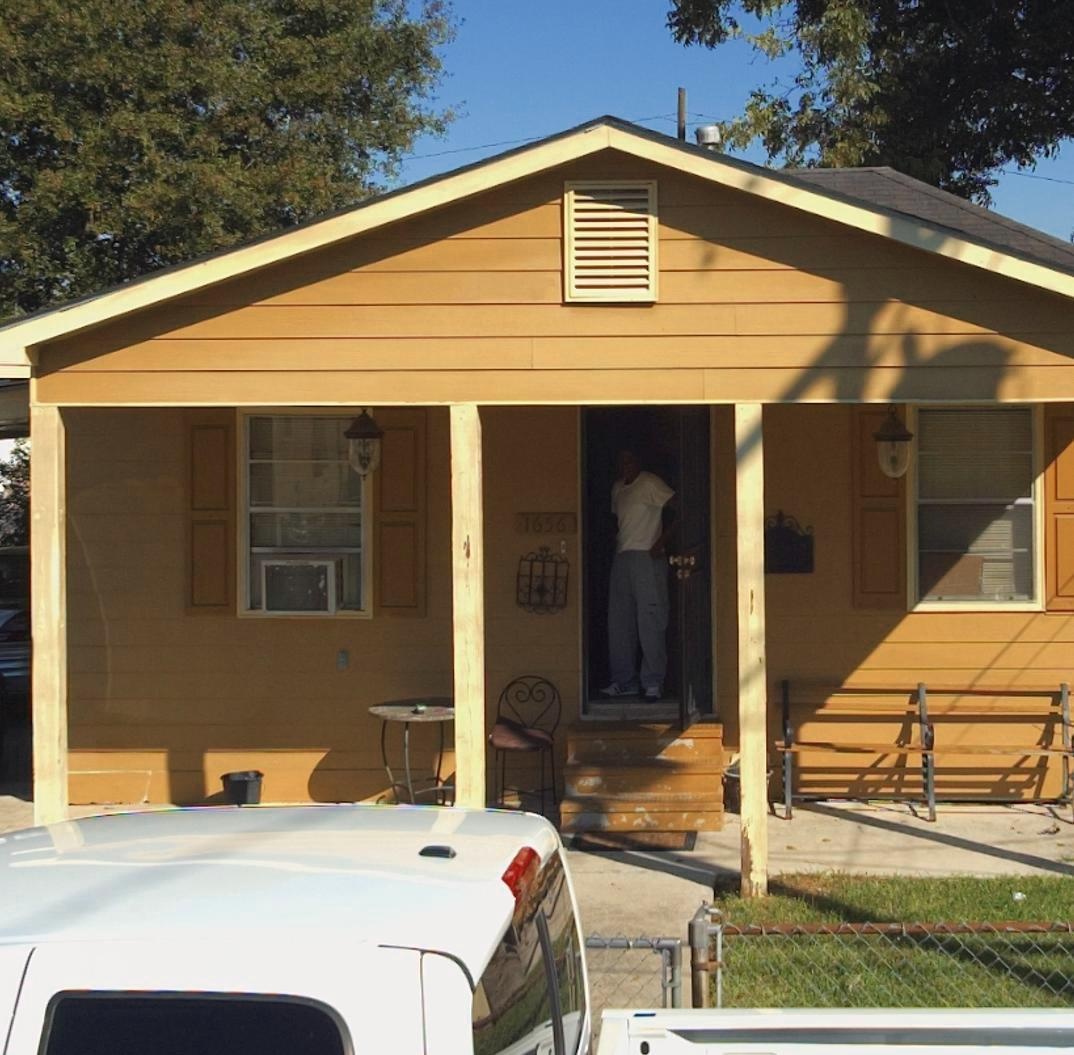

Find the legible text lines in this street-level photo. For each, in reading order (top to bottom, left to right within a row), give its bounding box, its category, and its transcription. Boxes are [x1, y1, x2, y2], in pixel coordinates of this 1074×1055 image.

[522, 513, 569, 534] StreetNumber: 1656